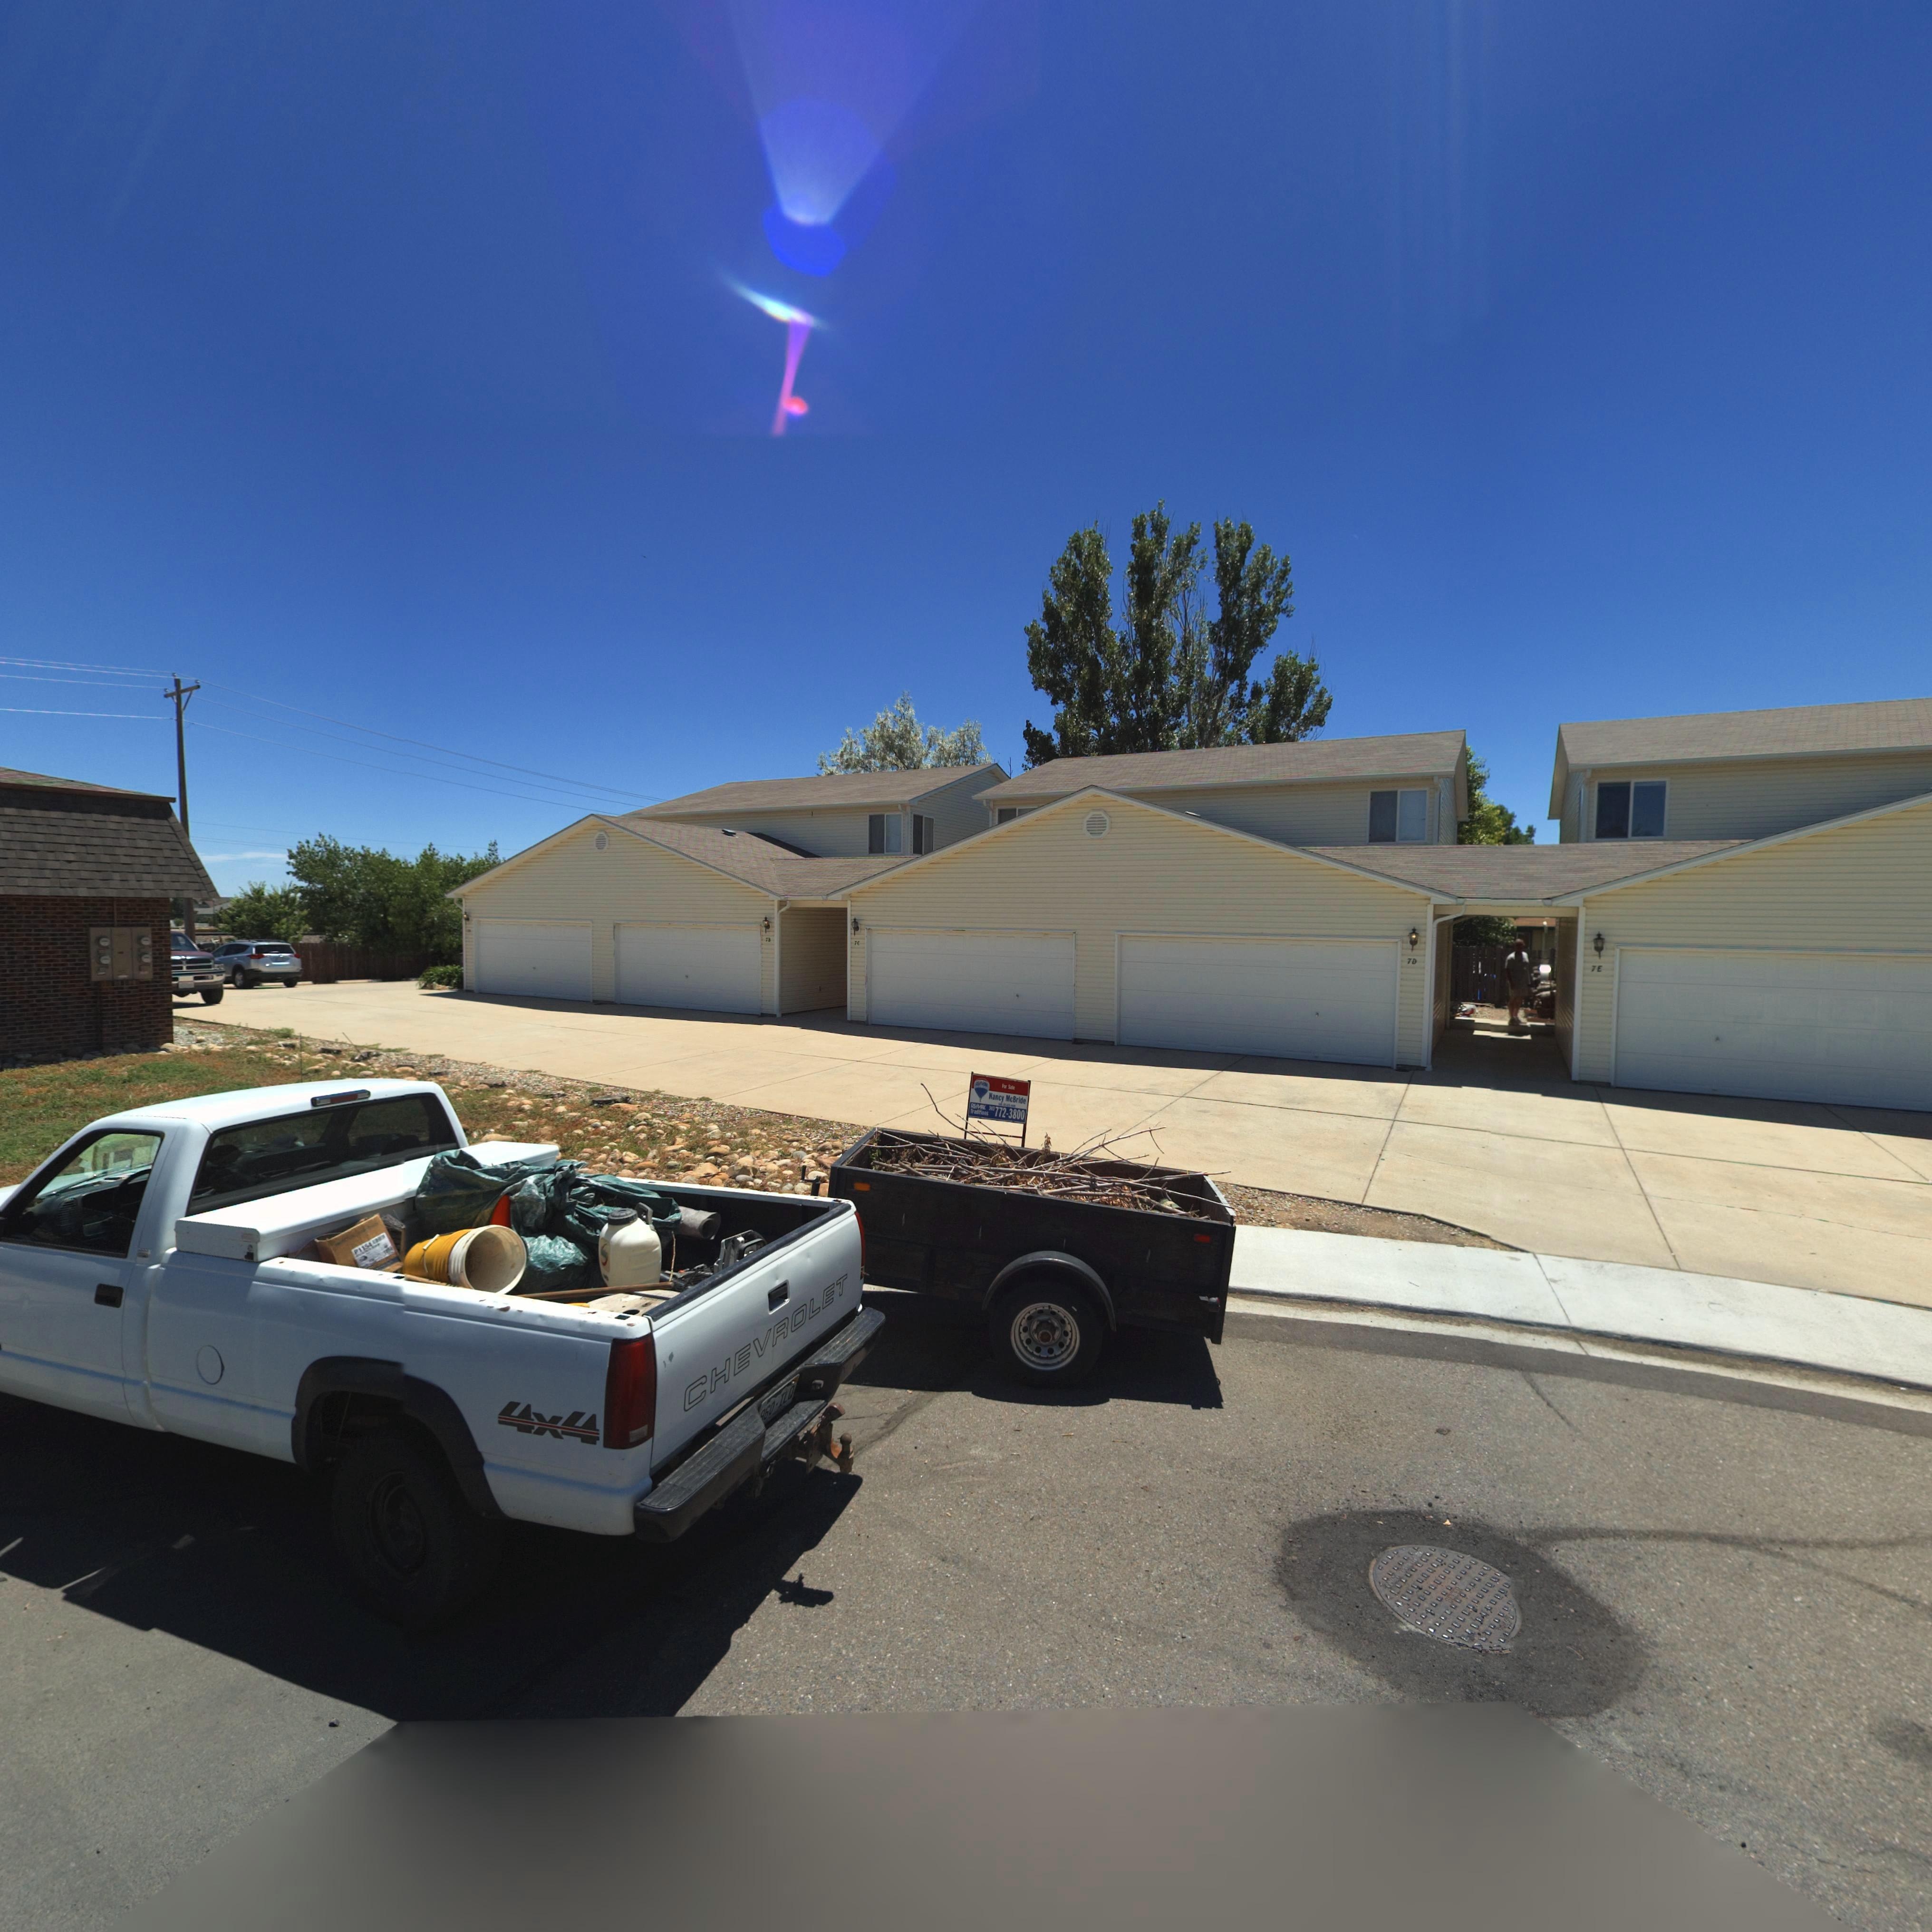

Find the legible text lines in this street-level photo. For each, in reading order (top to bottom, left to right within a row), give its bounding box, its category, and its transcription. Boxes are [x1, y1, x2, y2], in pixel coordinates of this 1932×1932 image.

[765, 937, 771, 942] StreetNumber: 7B
[853, 940, 860, 946] StreetNumber: 7C
[1406, 956, 1417, 965] StreetNumber: 7D
[1590, 965, 1604, 973] StreetNumber: 7E